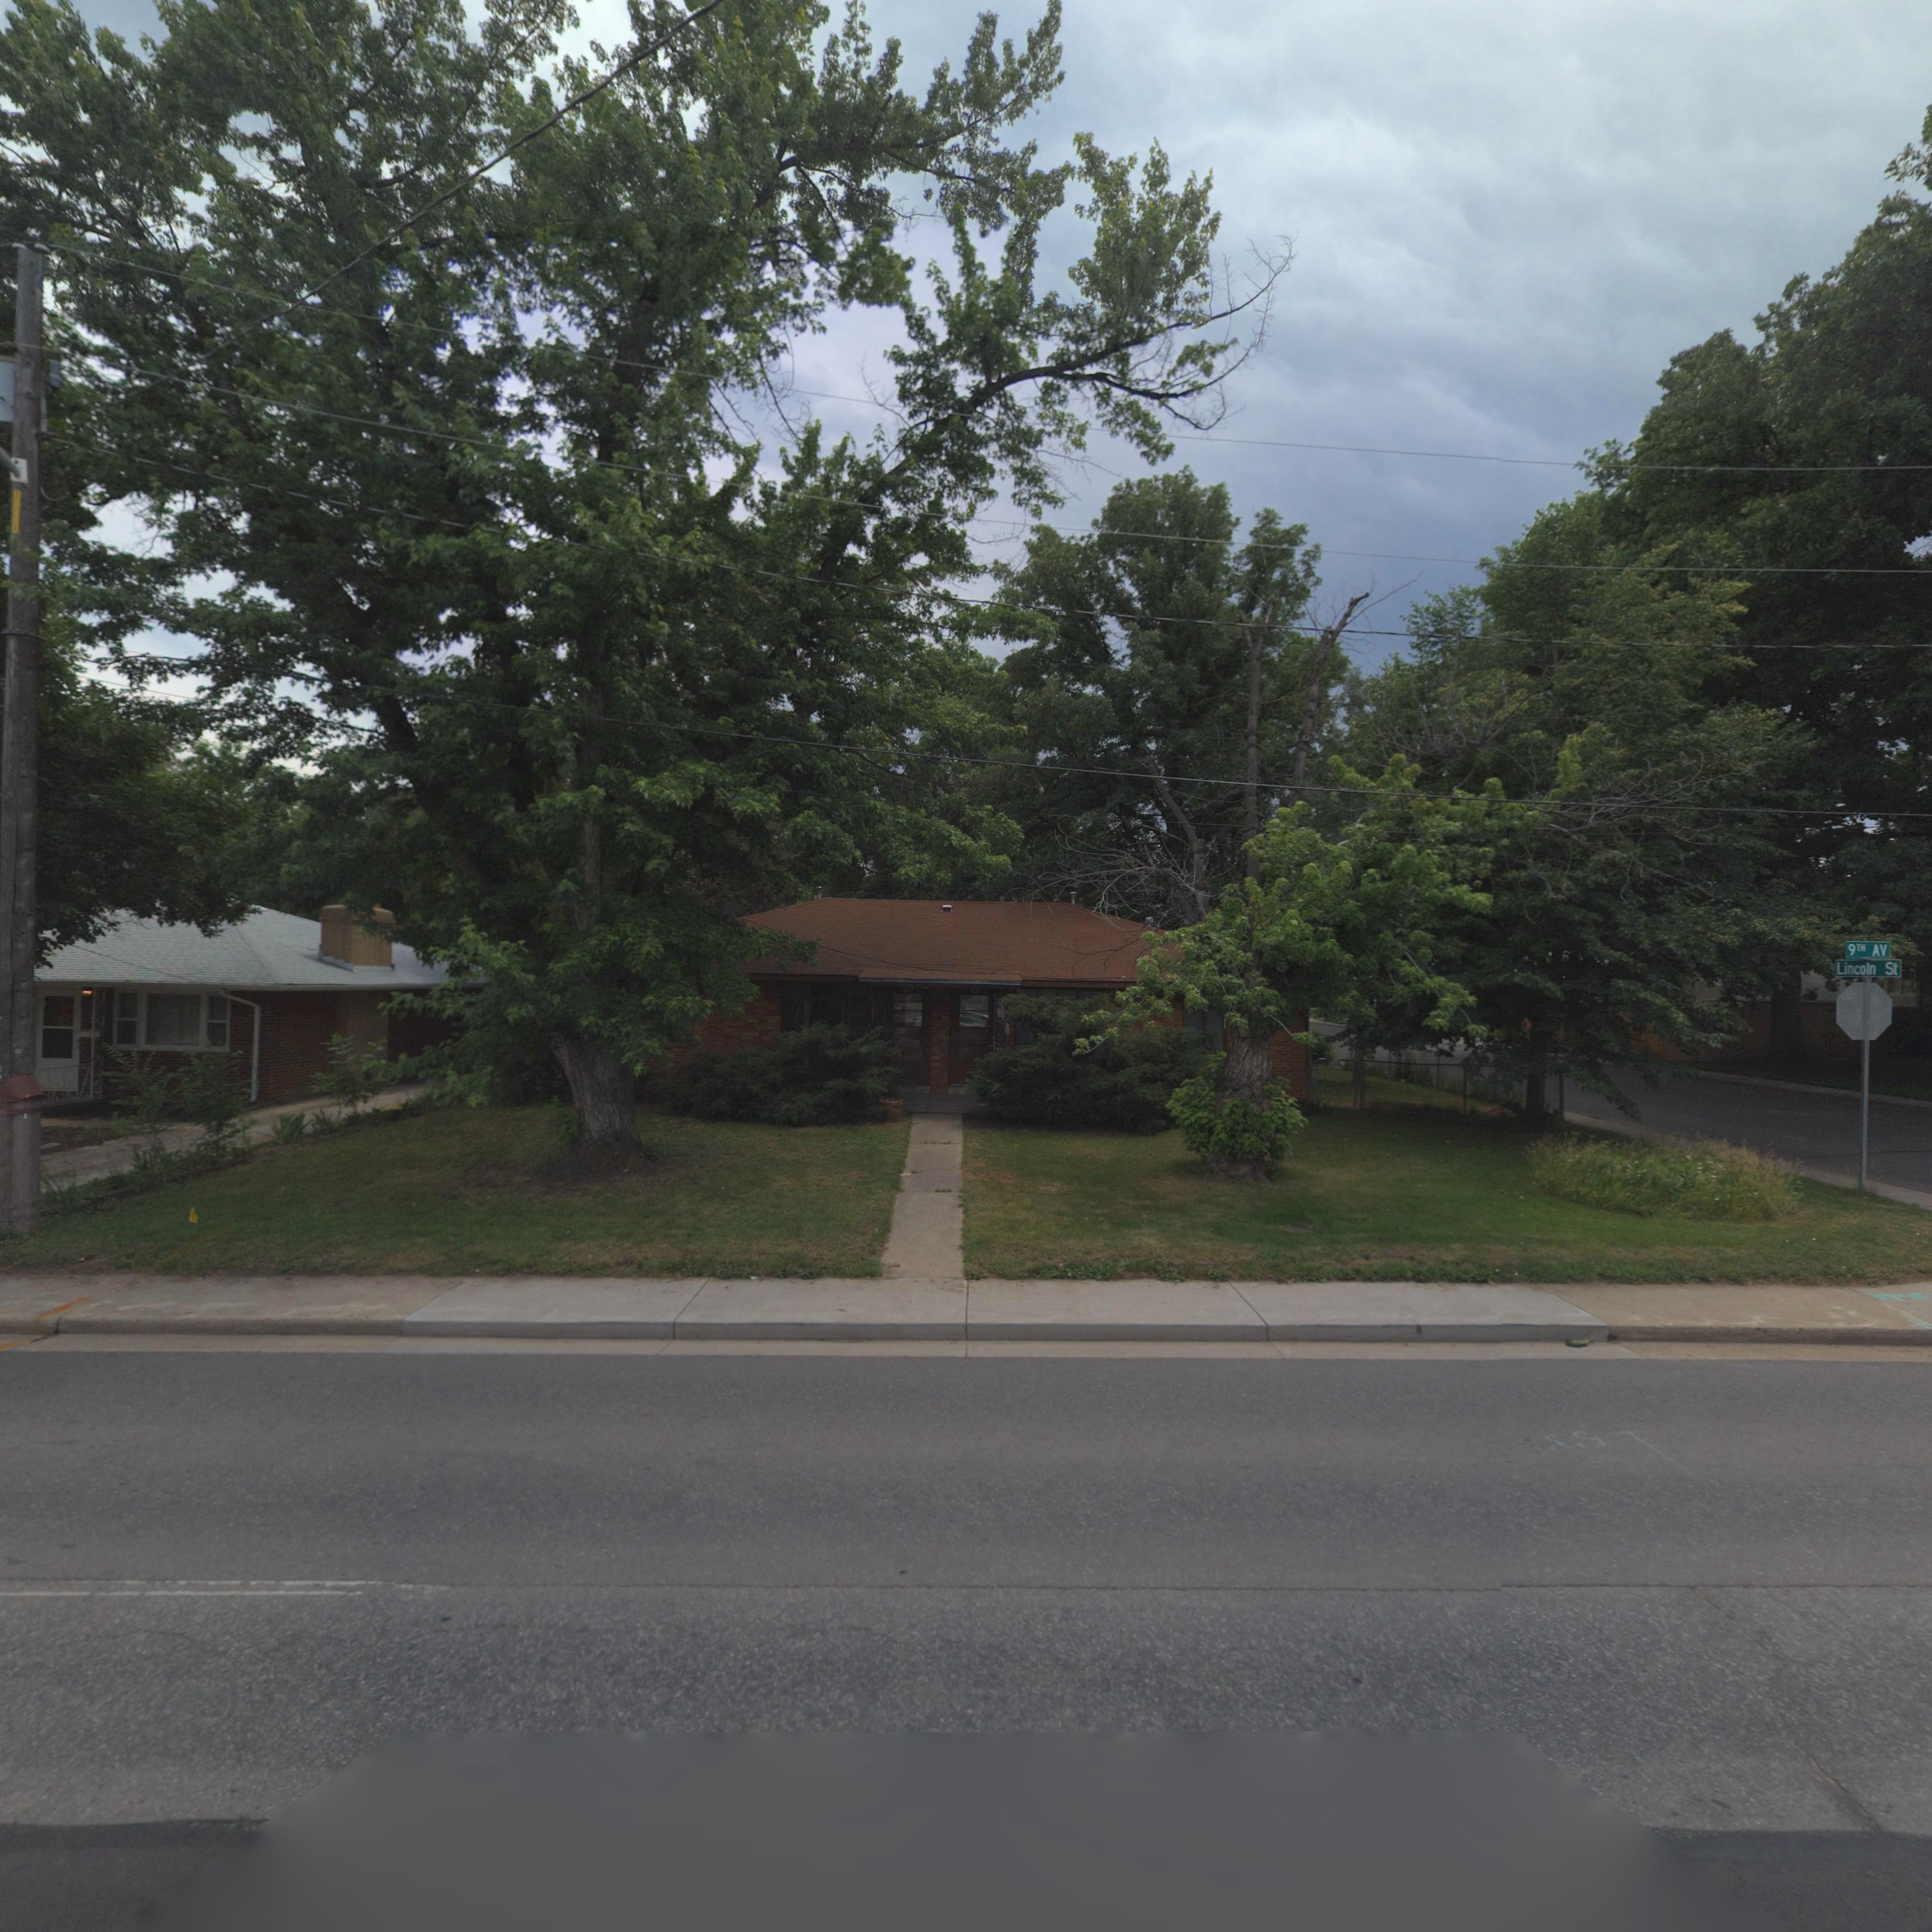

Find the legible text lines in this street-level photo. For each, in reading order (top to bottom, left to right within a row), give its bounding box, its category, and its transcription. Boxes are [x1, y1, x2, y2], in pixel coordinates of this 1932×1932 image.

[1847, 943, 1888, 956] StreetName: 9TH AV
[1836, 961, 1899, 976] StreetName: Lincoln St
[903, 986, 914, 993] StreetNumber: 1219
[969, 987, 981, 995] StreetNumber: 1221